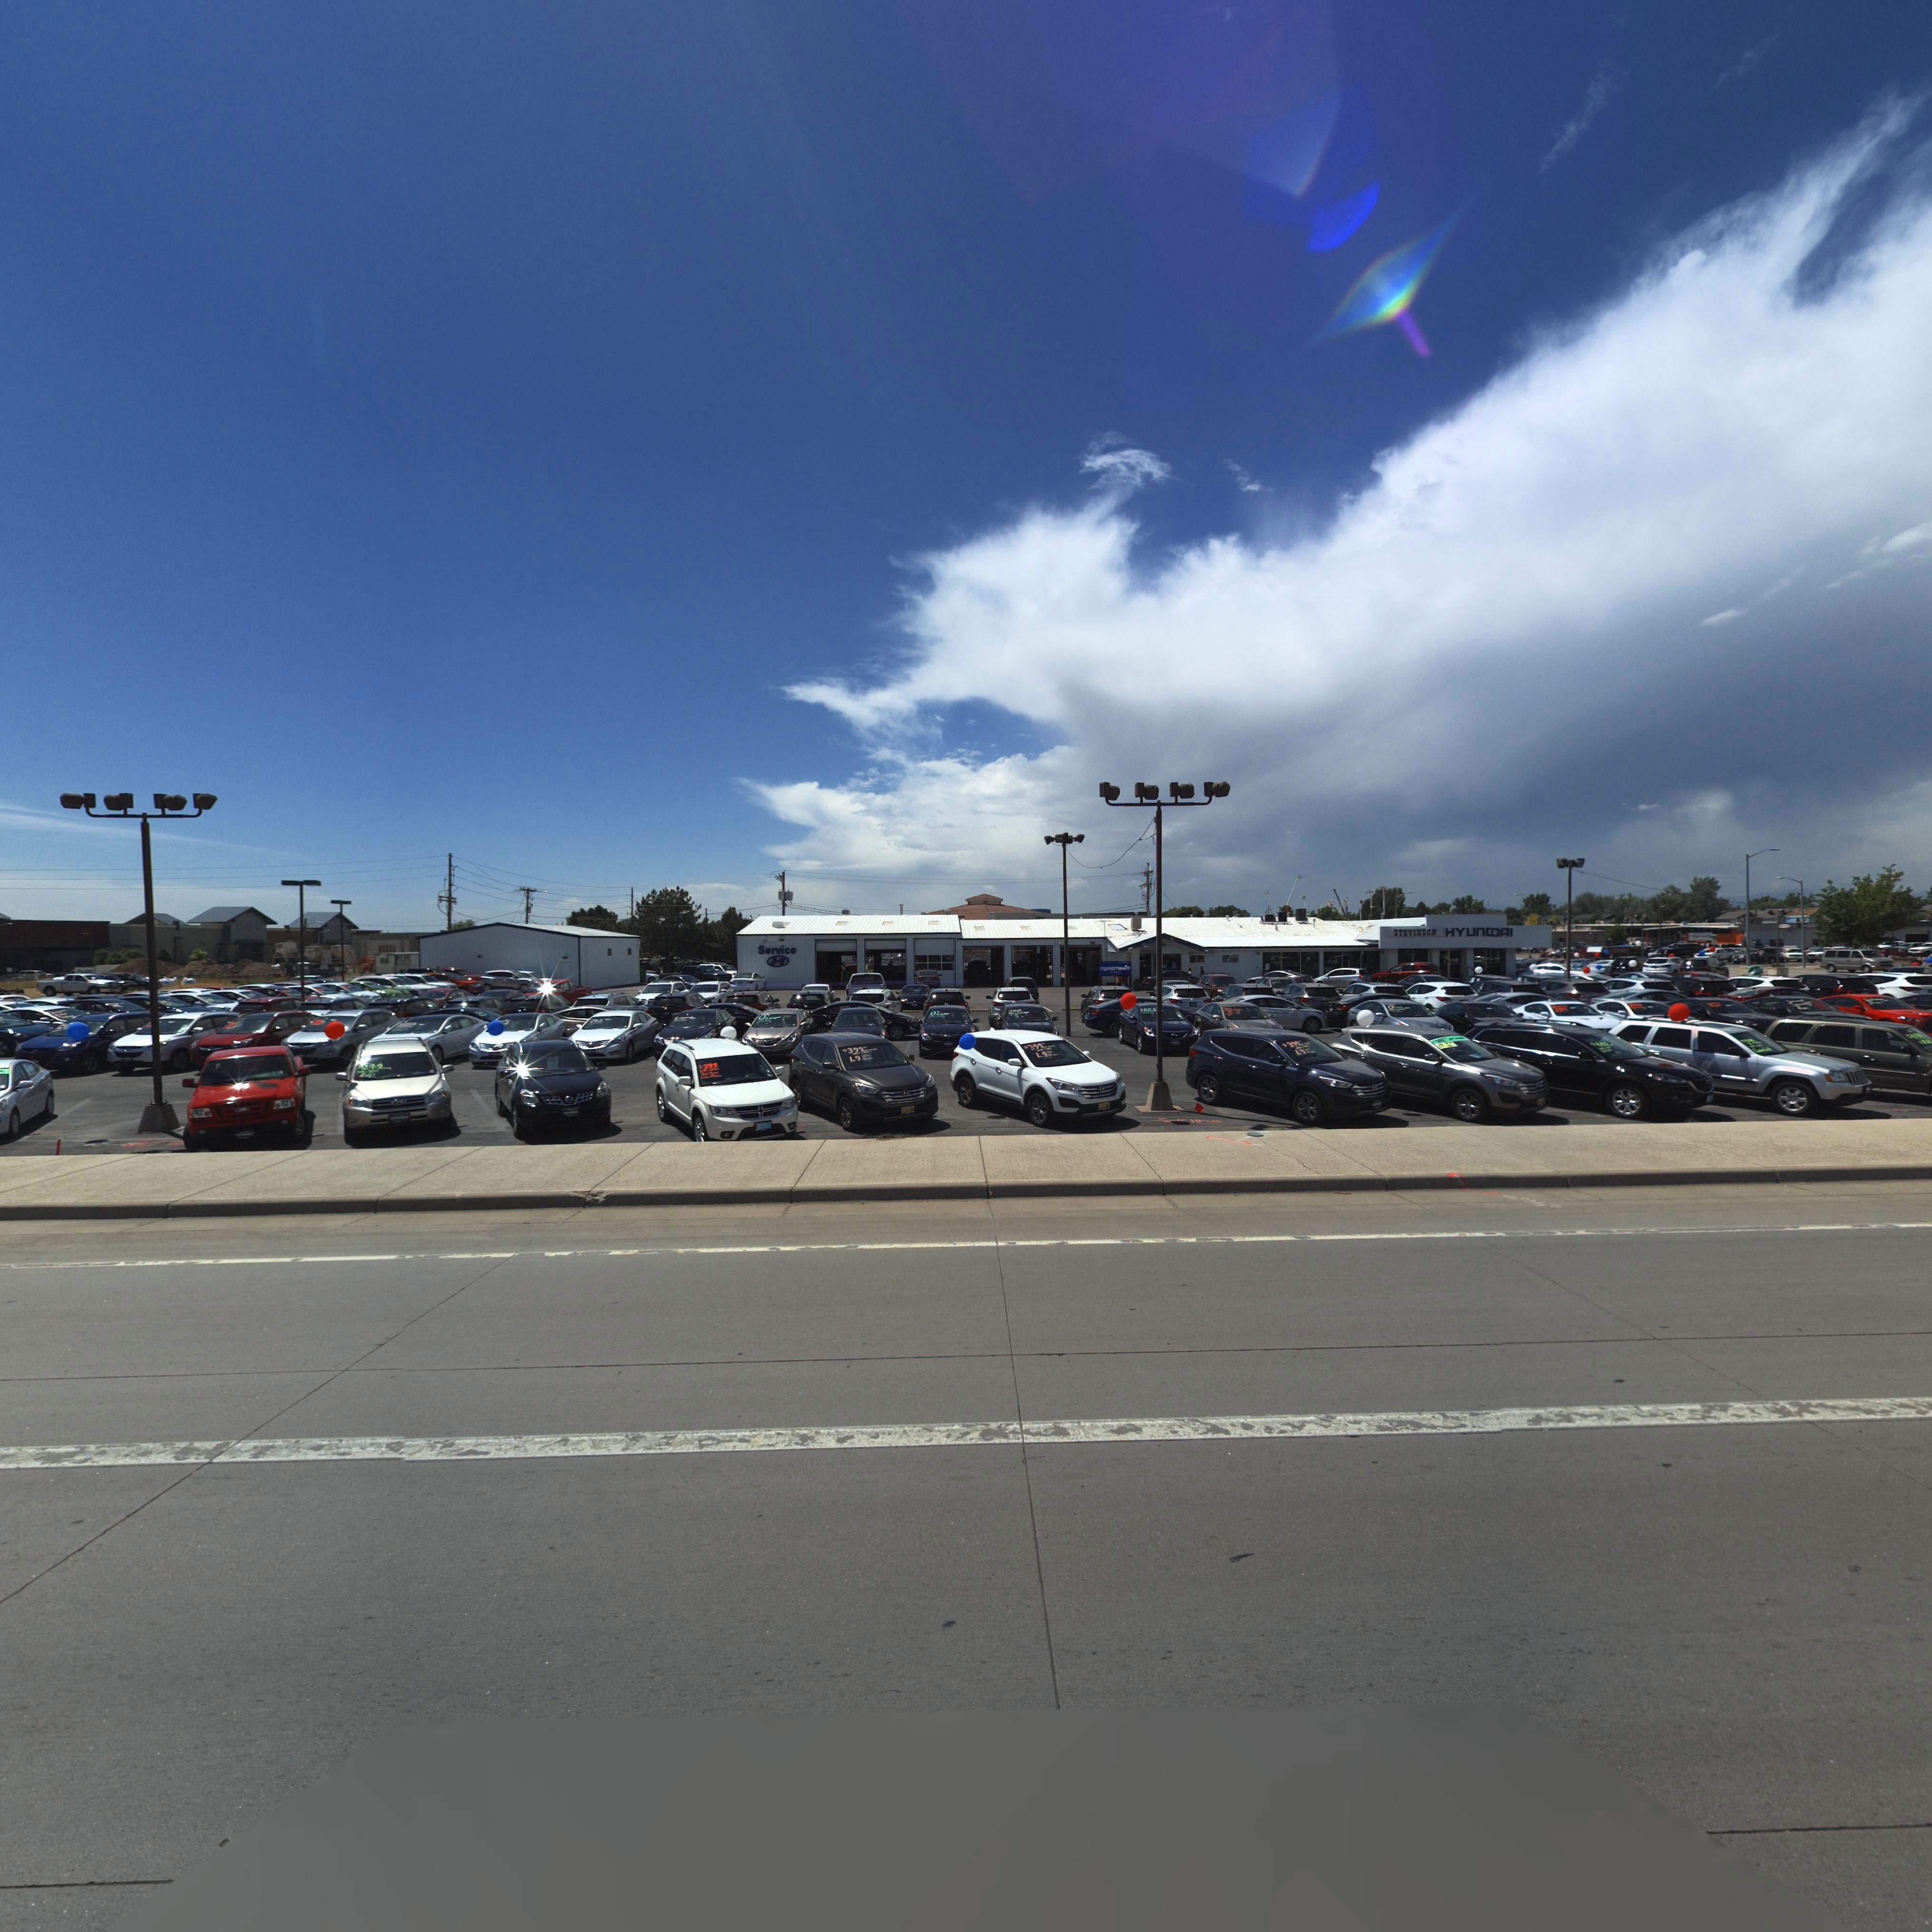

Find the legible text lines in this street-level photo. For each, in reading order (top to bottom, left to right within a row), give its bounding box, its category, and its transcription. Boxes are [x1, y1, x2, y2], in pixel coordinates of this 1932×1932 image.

[1393, 928, 1437, 937] BusinessName: STEVINSON
[1445, 927, 1513, 937] BusinessName: HYUN*DAI